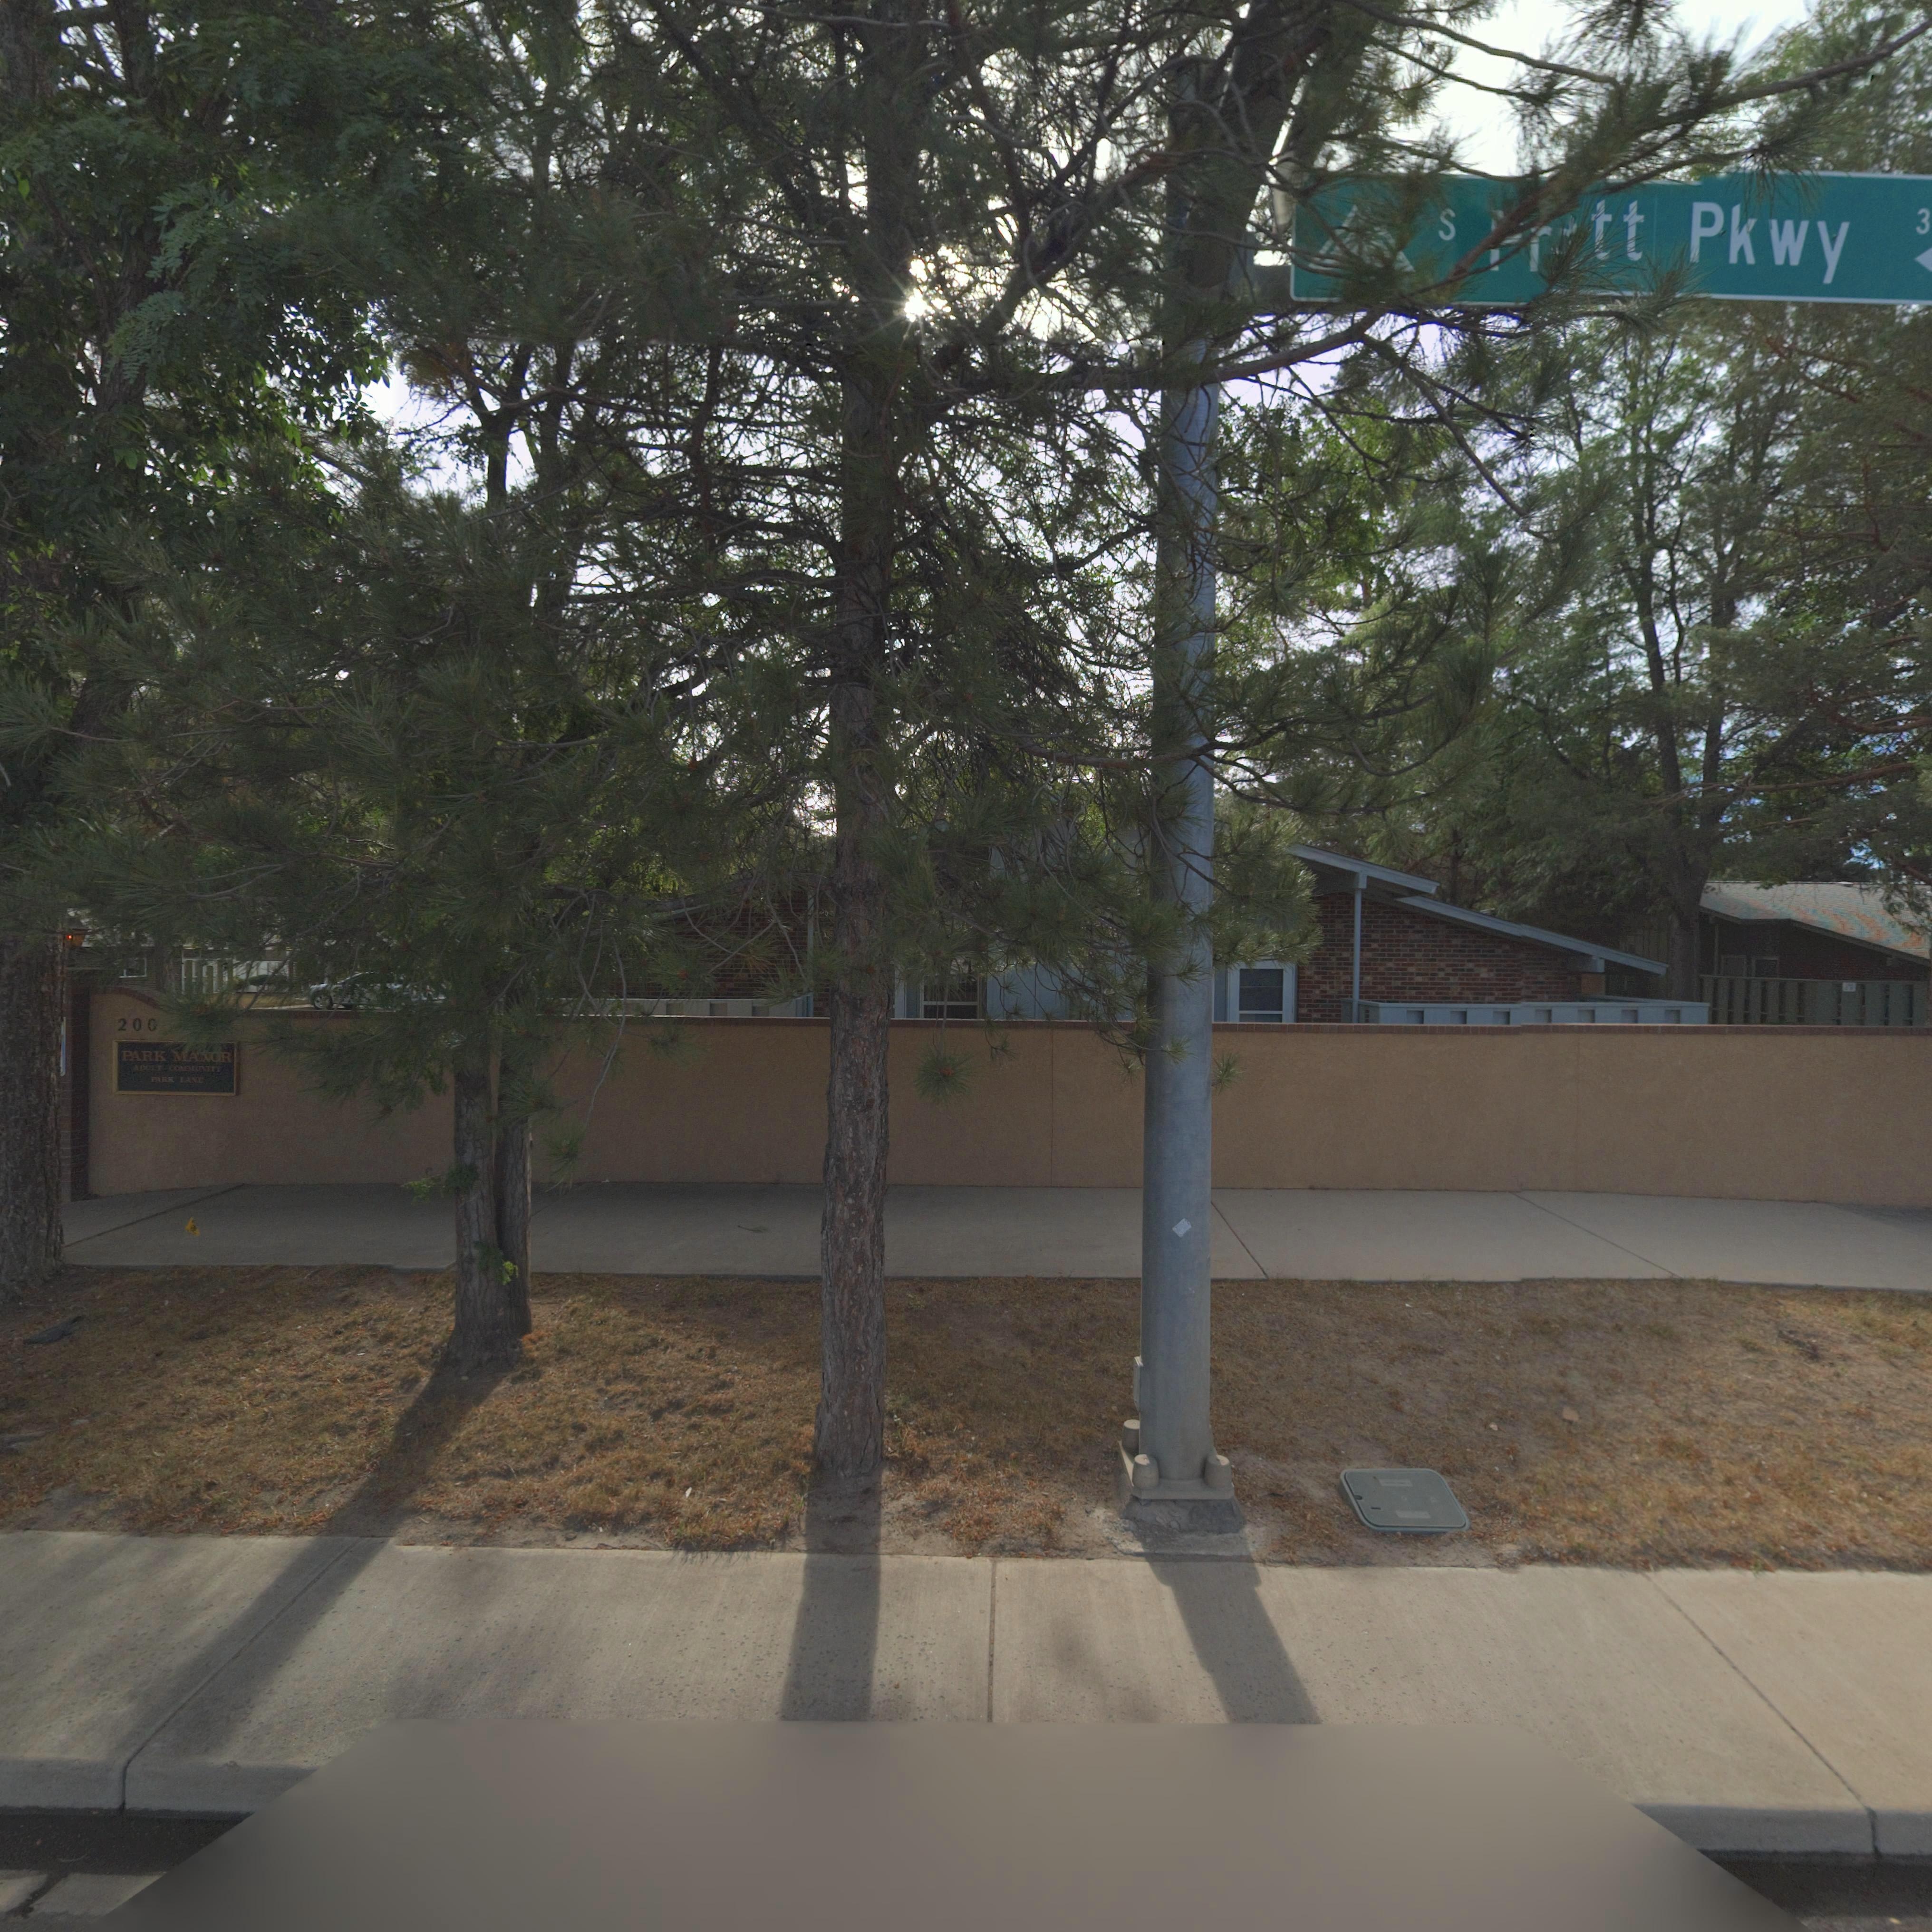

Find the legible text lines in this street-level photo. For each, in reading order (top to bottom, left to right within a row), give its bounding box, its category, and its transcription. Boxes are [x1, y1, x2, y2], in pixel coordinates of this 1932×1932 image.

[1914, 205, 1931, 237] StreetNumber: 3
[1433, 194, 1859, 292] StreetName: S *r*tt Pkwy
[115, 1016, 159, 1034] StreetNumber: 200
[120, 1049, 234, 1064] BusinessName: PARK MANOR